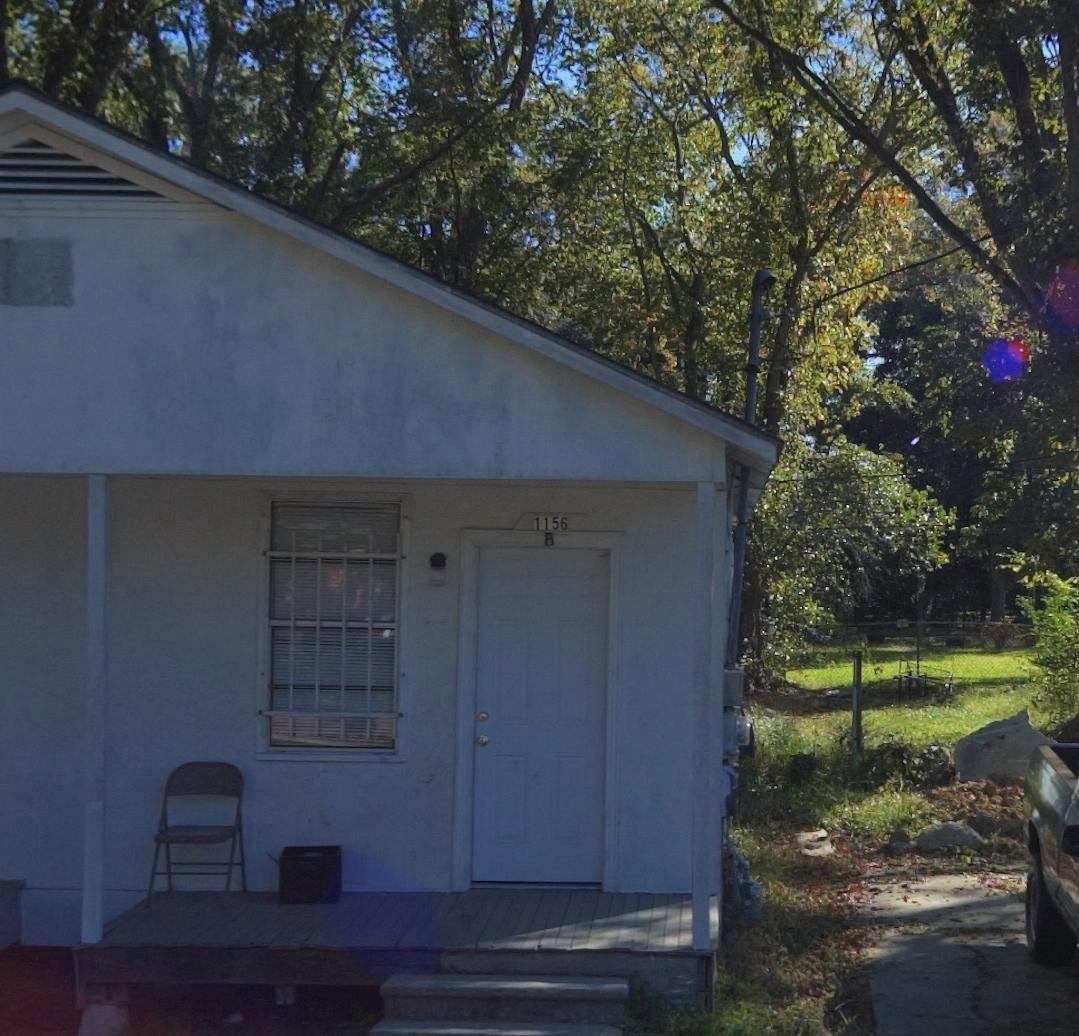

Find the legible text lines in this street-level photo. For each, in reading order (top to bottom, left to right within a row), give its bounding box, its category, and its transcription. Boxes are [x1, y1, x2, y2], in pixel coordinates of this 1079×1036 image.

[532, 515, 570, 532] StreetNumber: 1156
[542, 531, 556, 548] StreetNumber: B